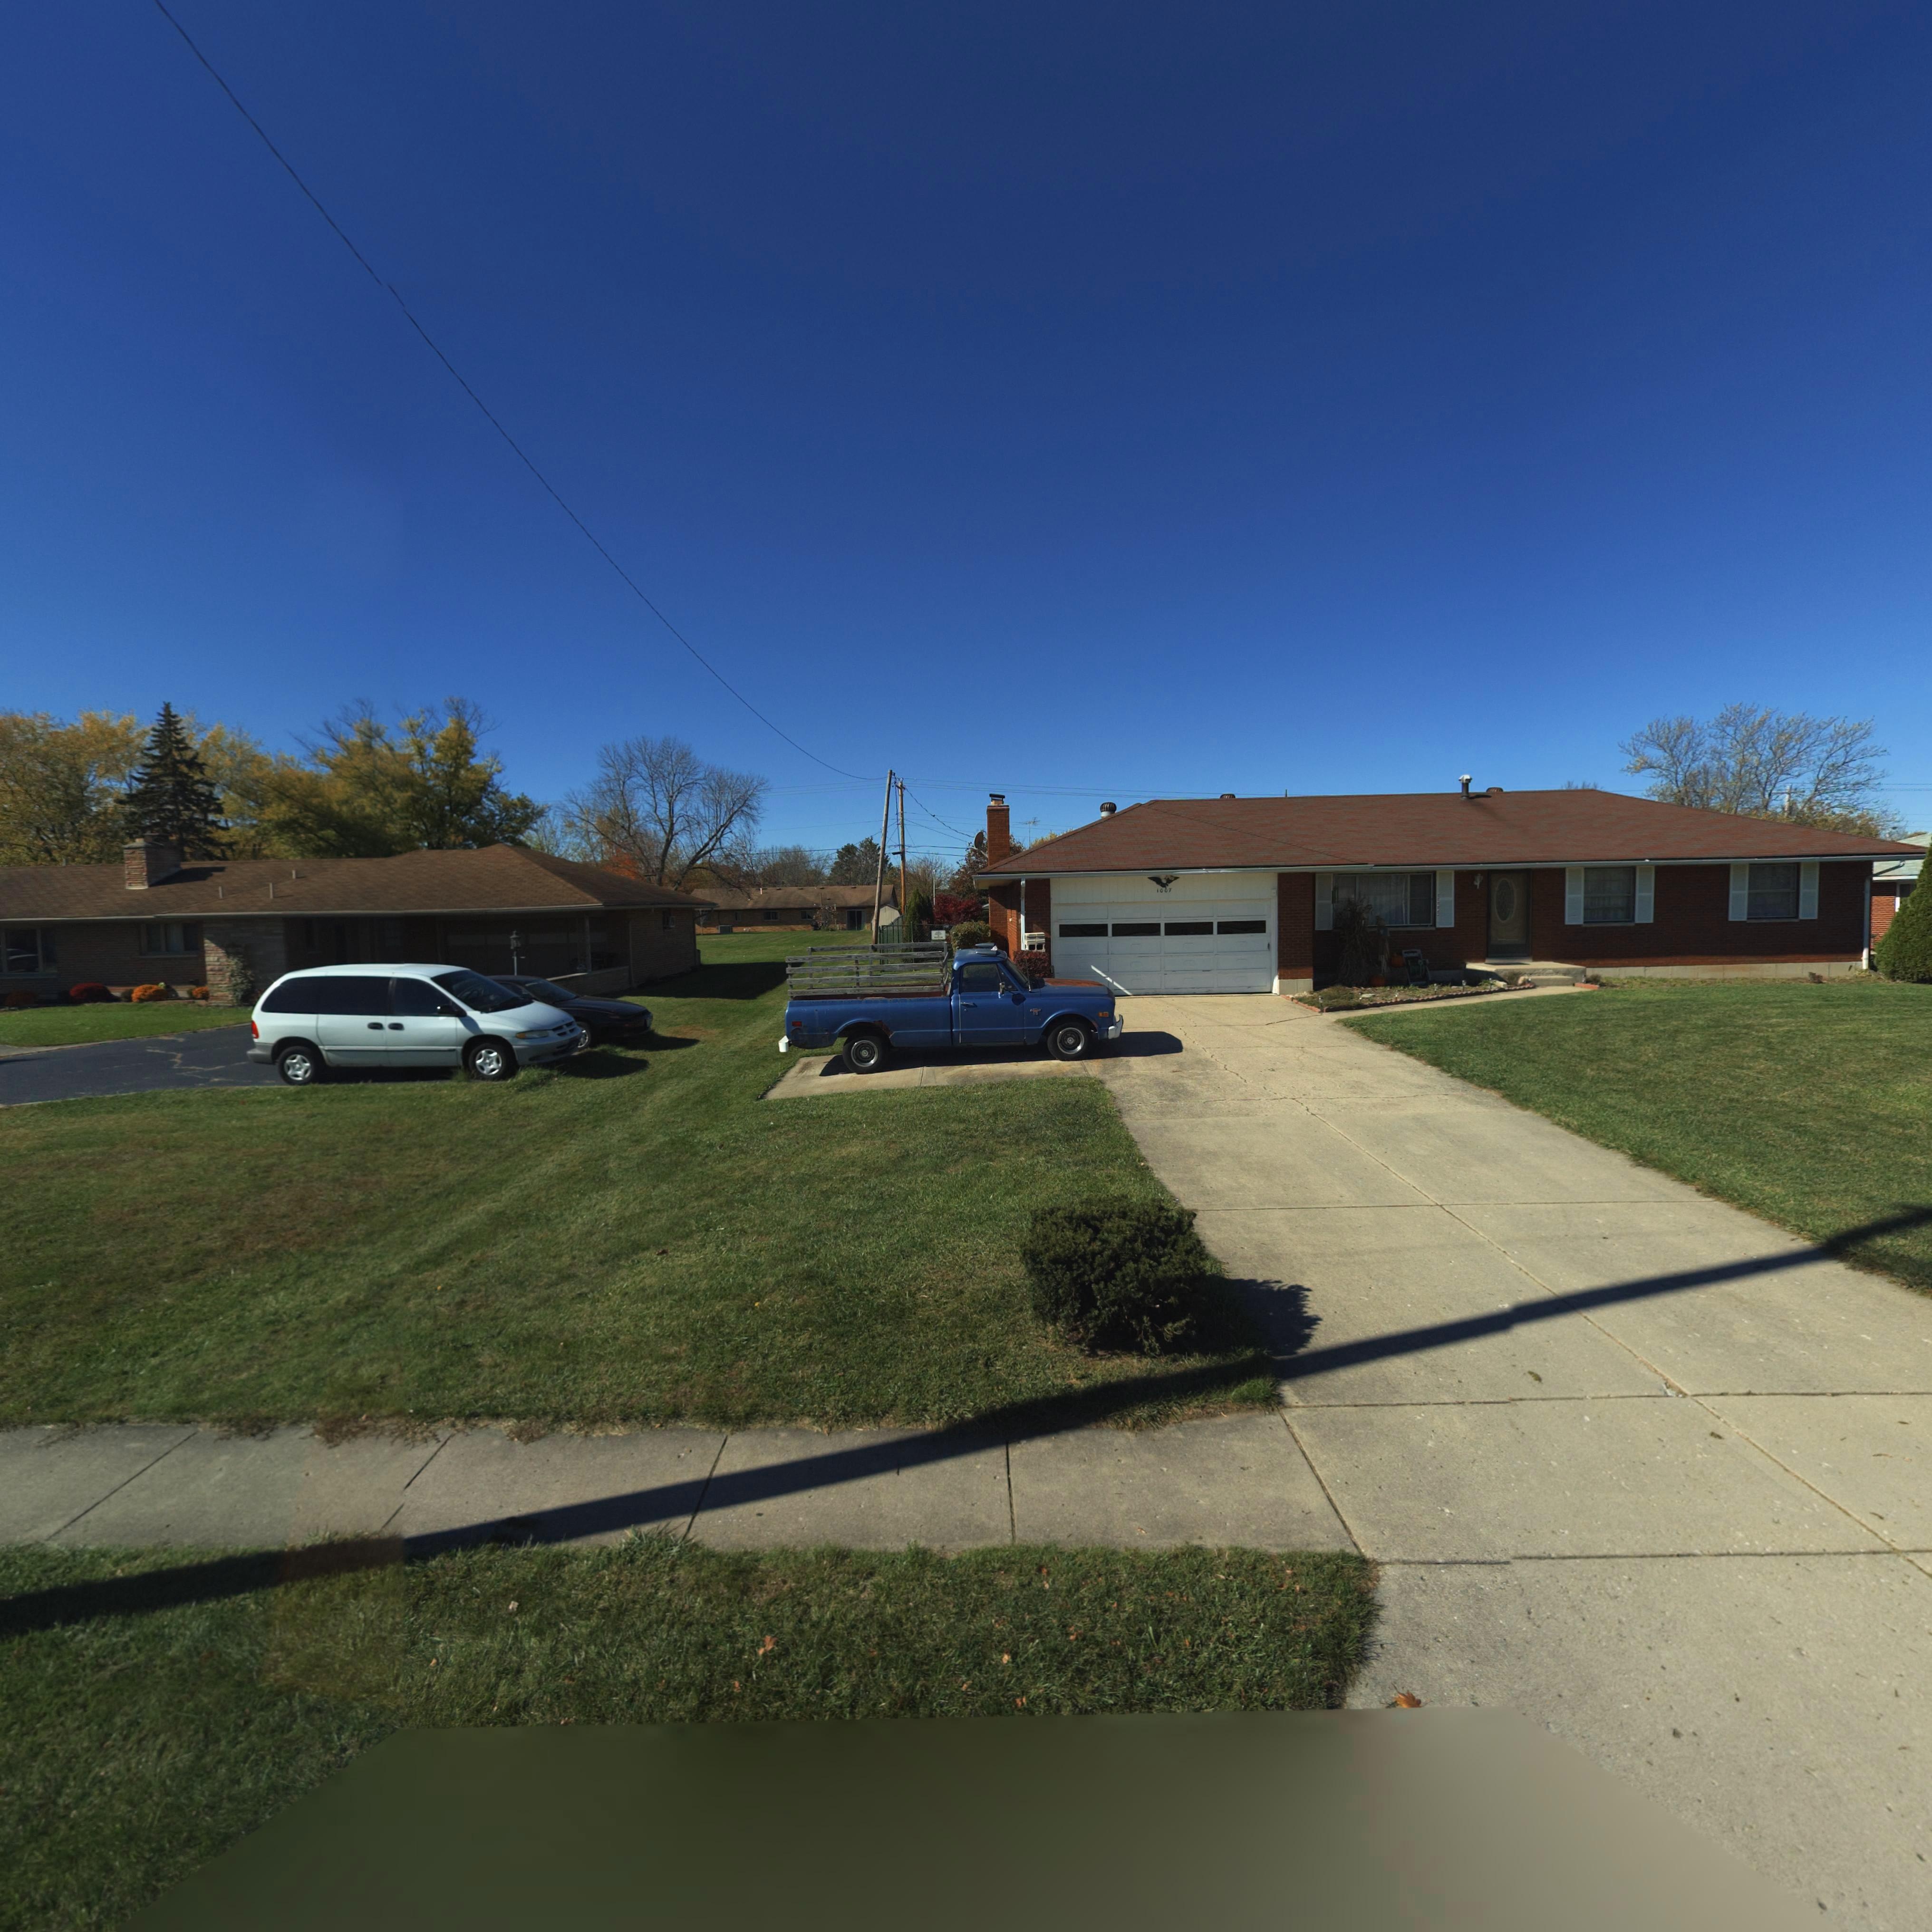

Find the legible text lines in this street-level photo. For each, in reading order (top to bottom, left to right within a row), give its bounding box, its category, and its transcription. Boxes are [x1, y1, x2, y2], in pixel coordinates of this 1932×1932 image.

[1156, 887, 1173, 894] StreetNumber: 1007